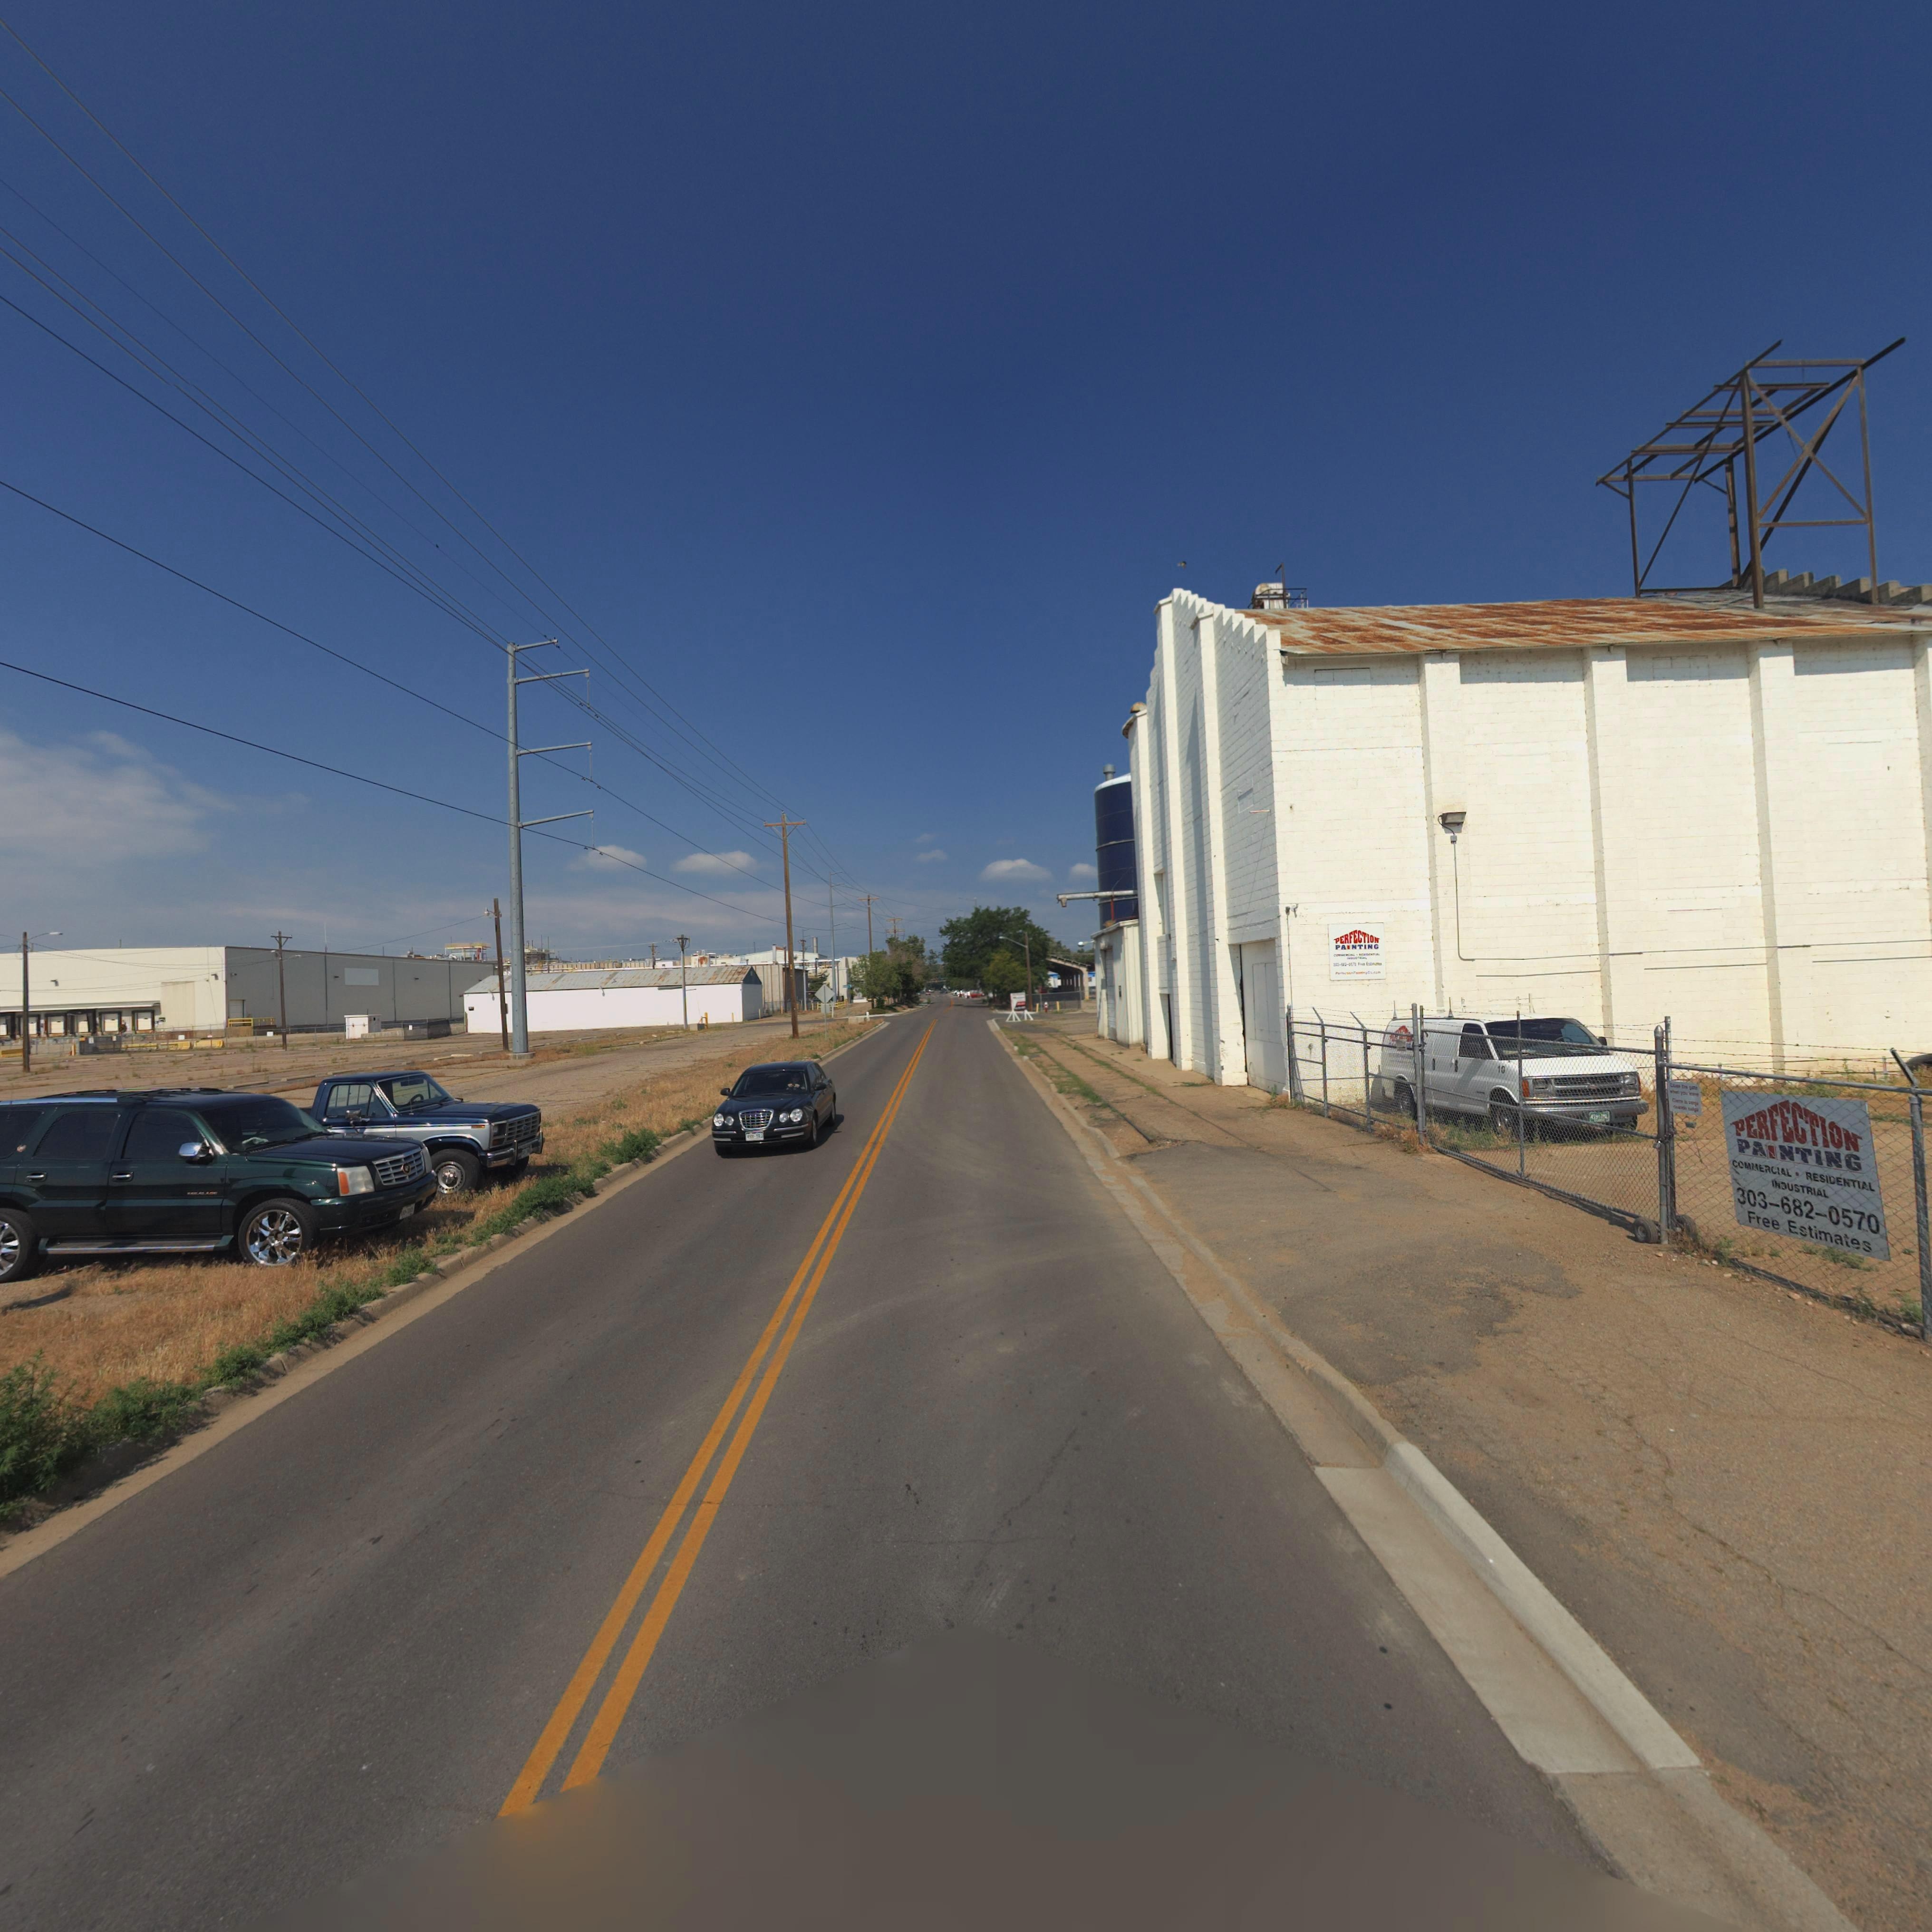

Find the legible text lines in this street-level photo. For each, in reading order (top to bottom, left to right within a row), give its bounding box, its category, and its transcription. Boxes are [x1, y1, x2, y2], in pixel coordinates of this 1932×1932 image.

[1334, 943, 1379, 950] BusinessName: PAINTING
[1334, 928, 1380, 944] BusinessName: PERFECTION
[1733, 1098, 1861, 1154] BusinessName: PERFECTION
[1736, 1138, 1863, 1172] BusinessName: PAINTING